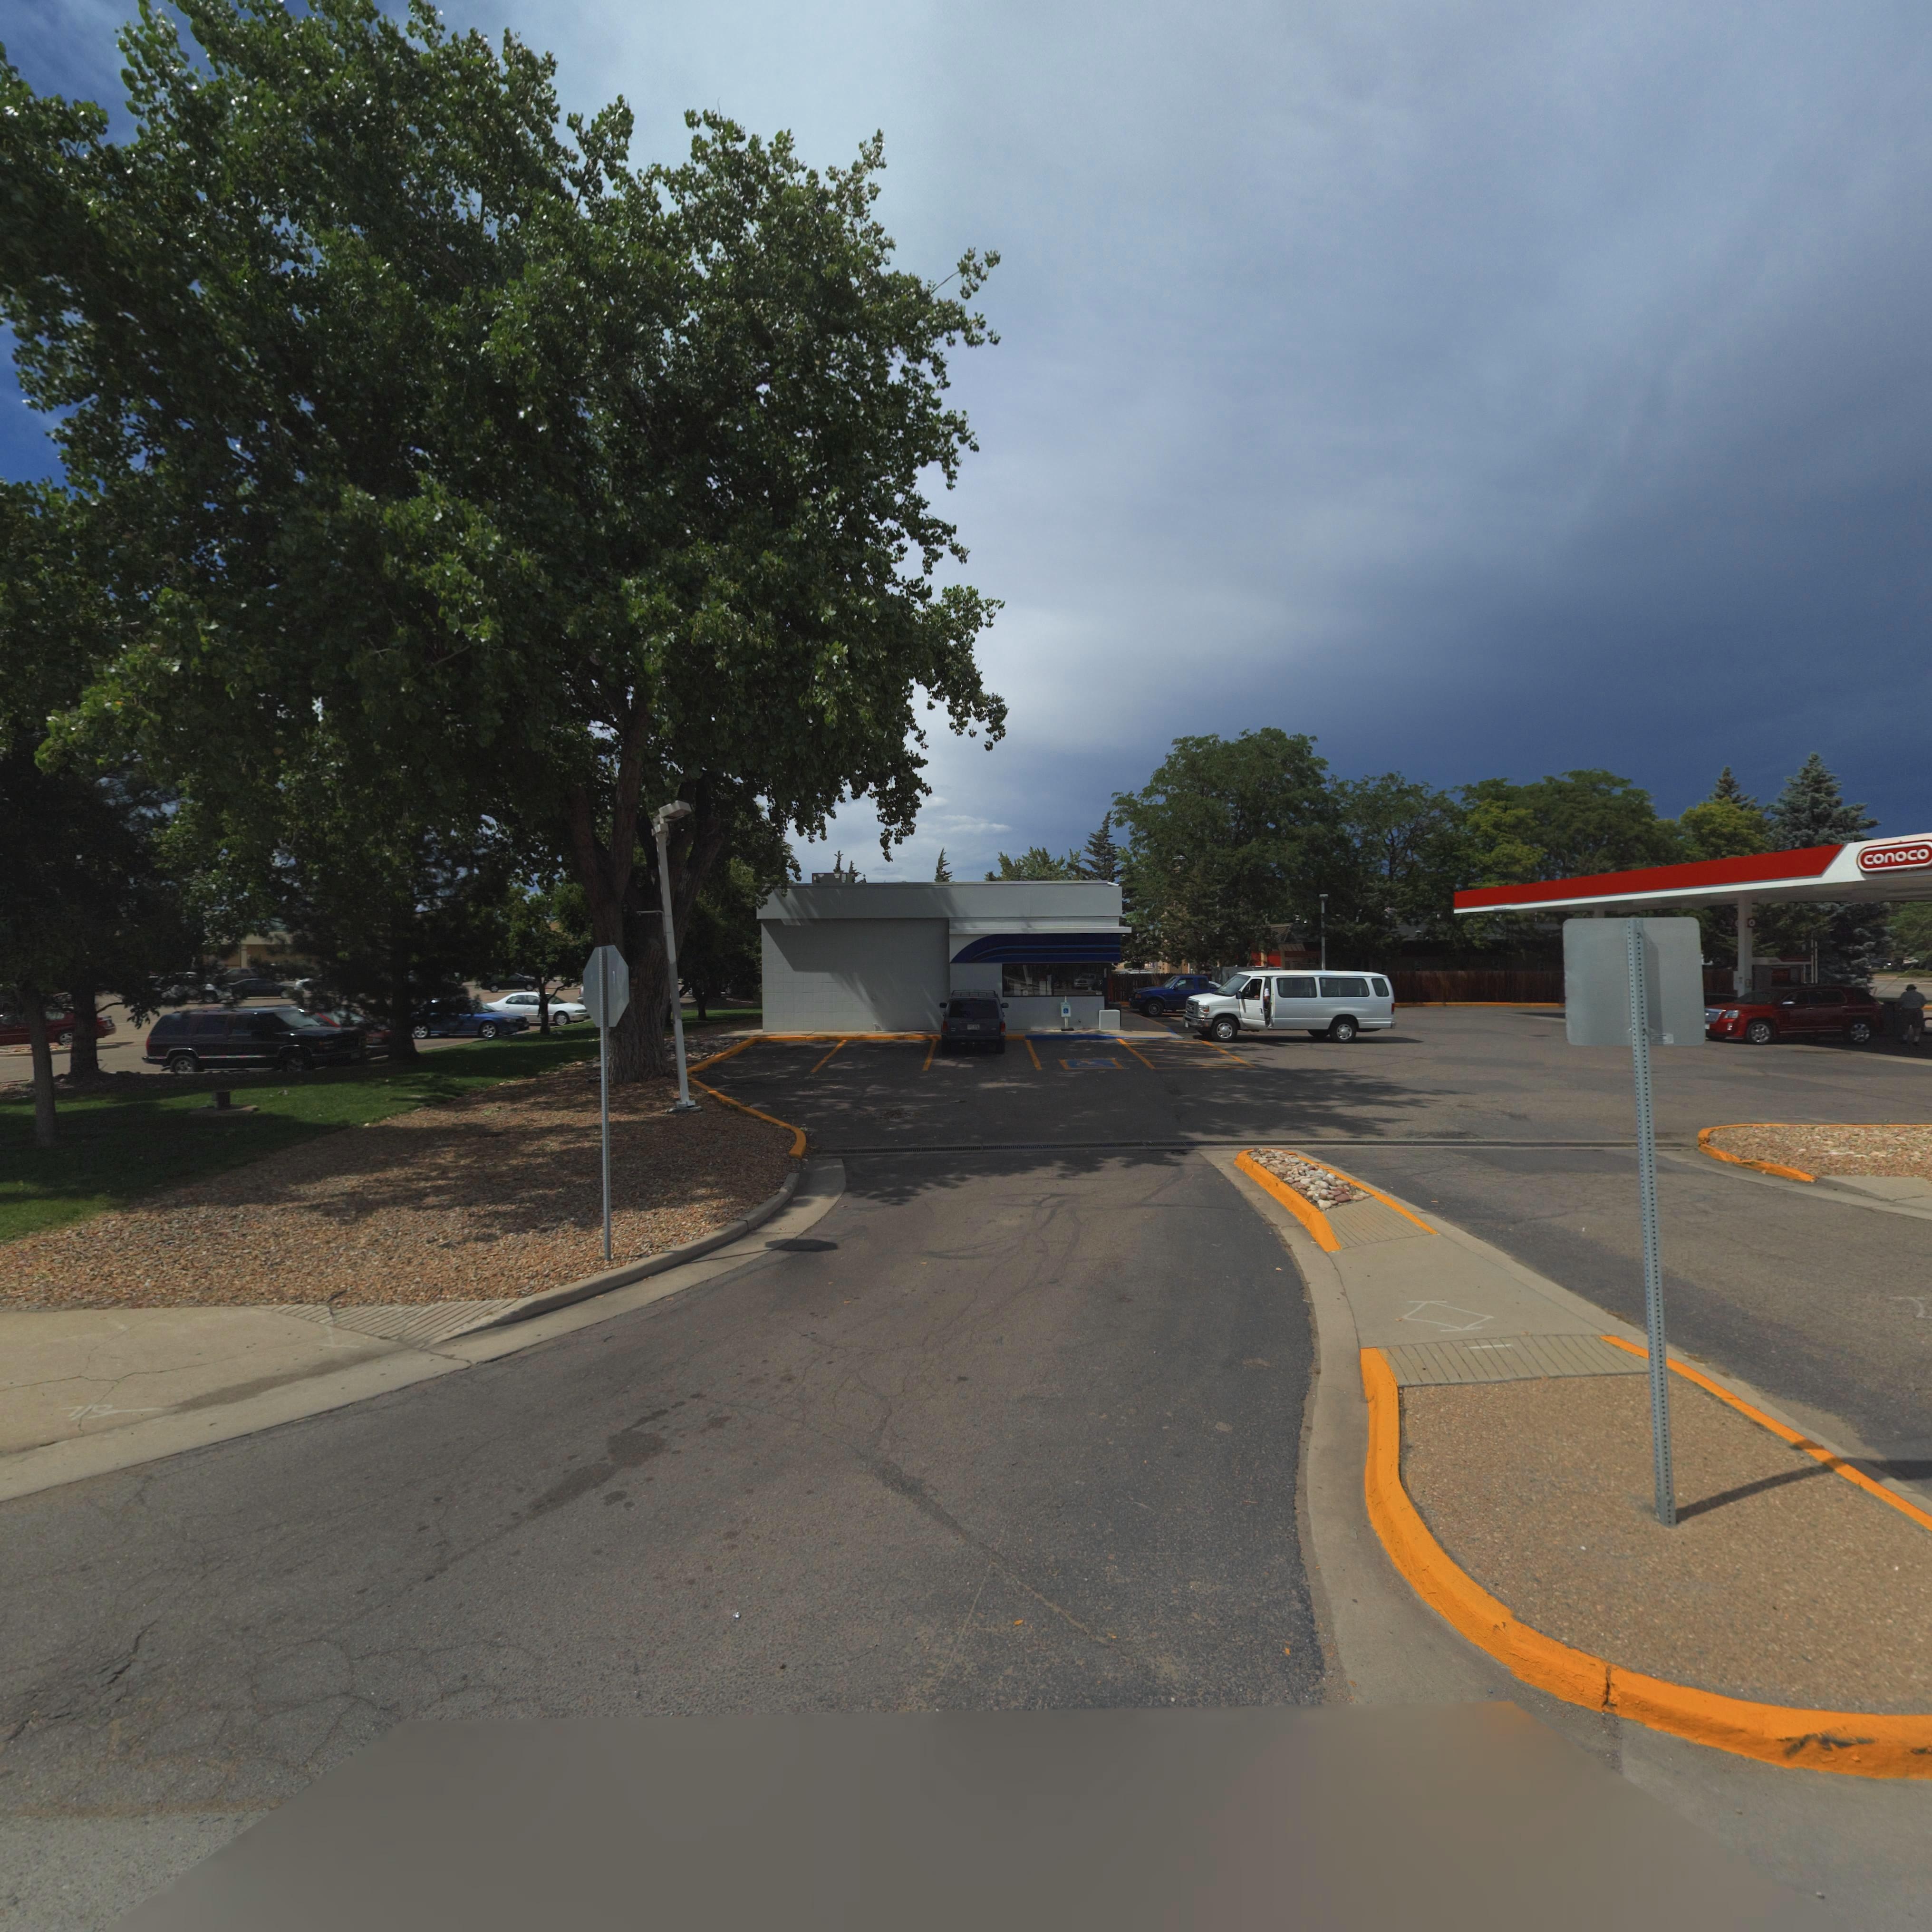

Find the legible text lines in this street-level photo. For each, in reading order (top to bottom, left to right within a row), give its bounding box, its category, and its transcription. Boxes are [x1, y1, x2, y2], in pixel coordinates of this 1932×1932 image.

[1863, 848, 1930, 865] BusinessName: conoco